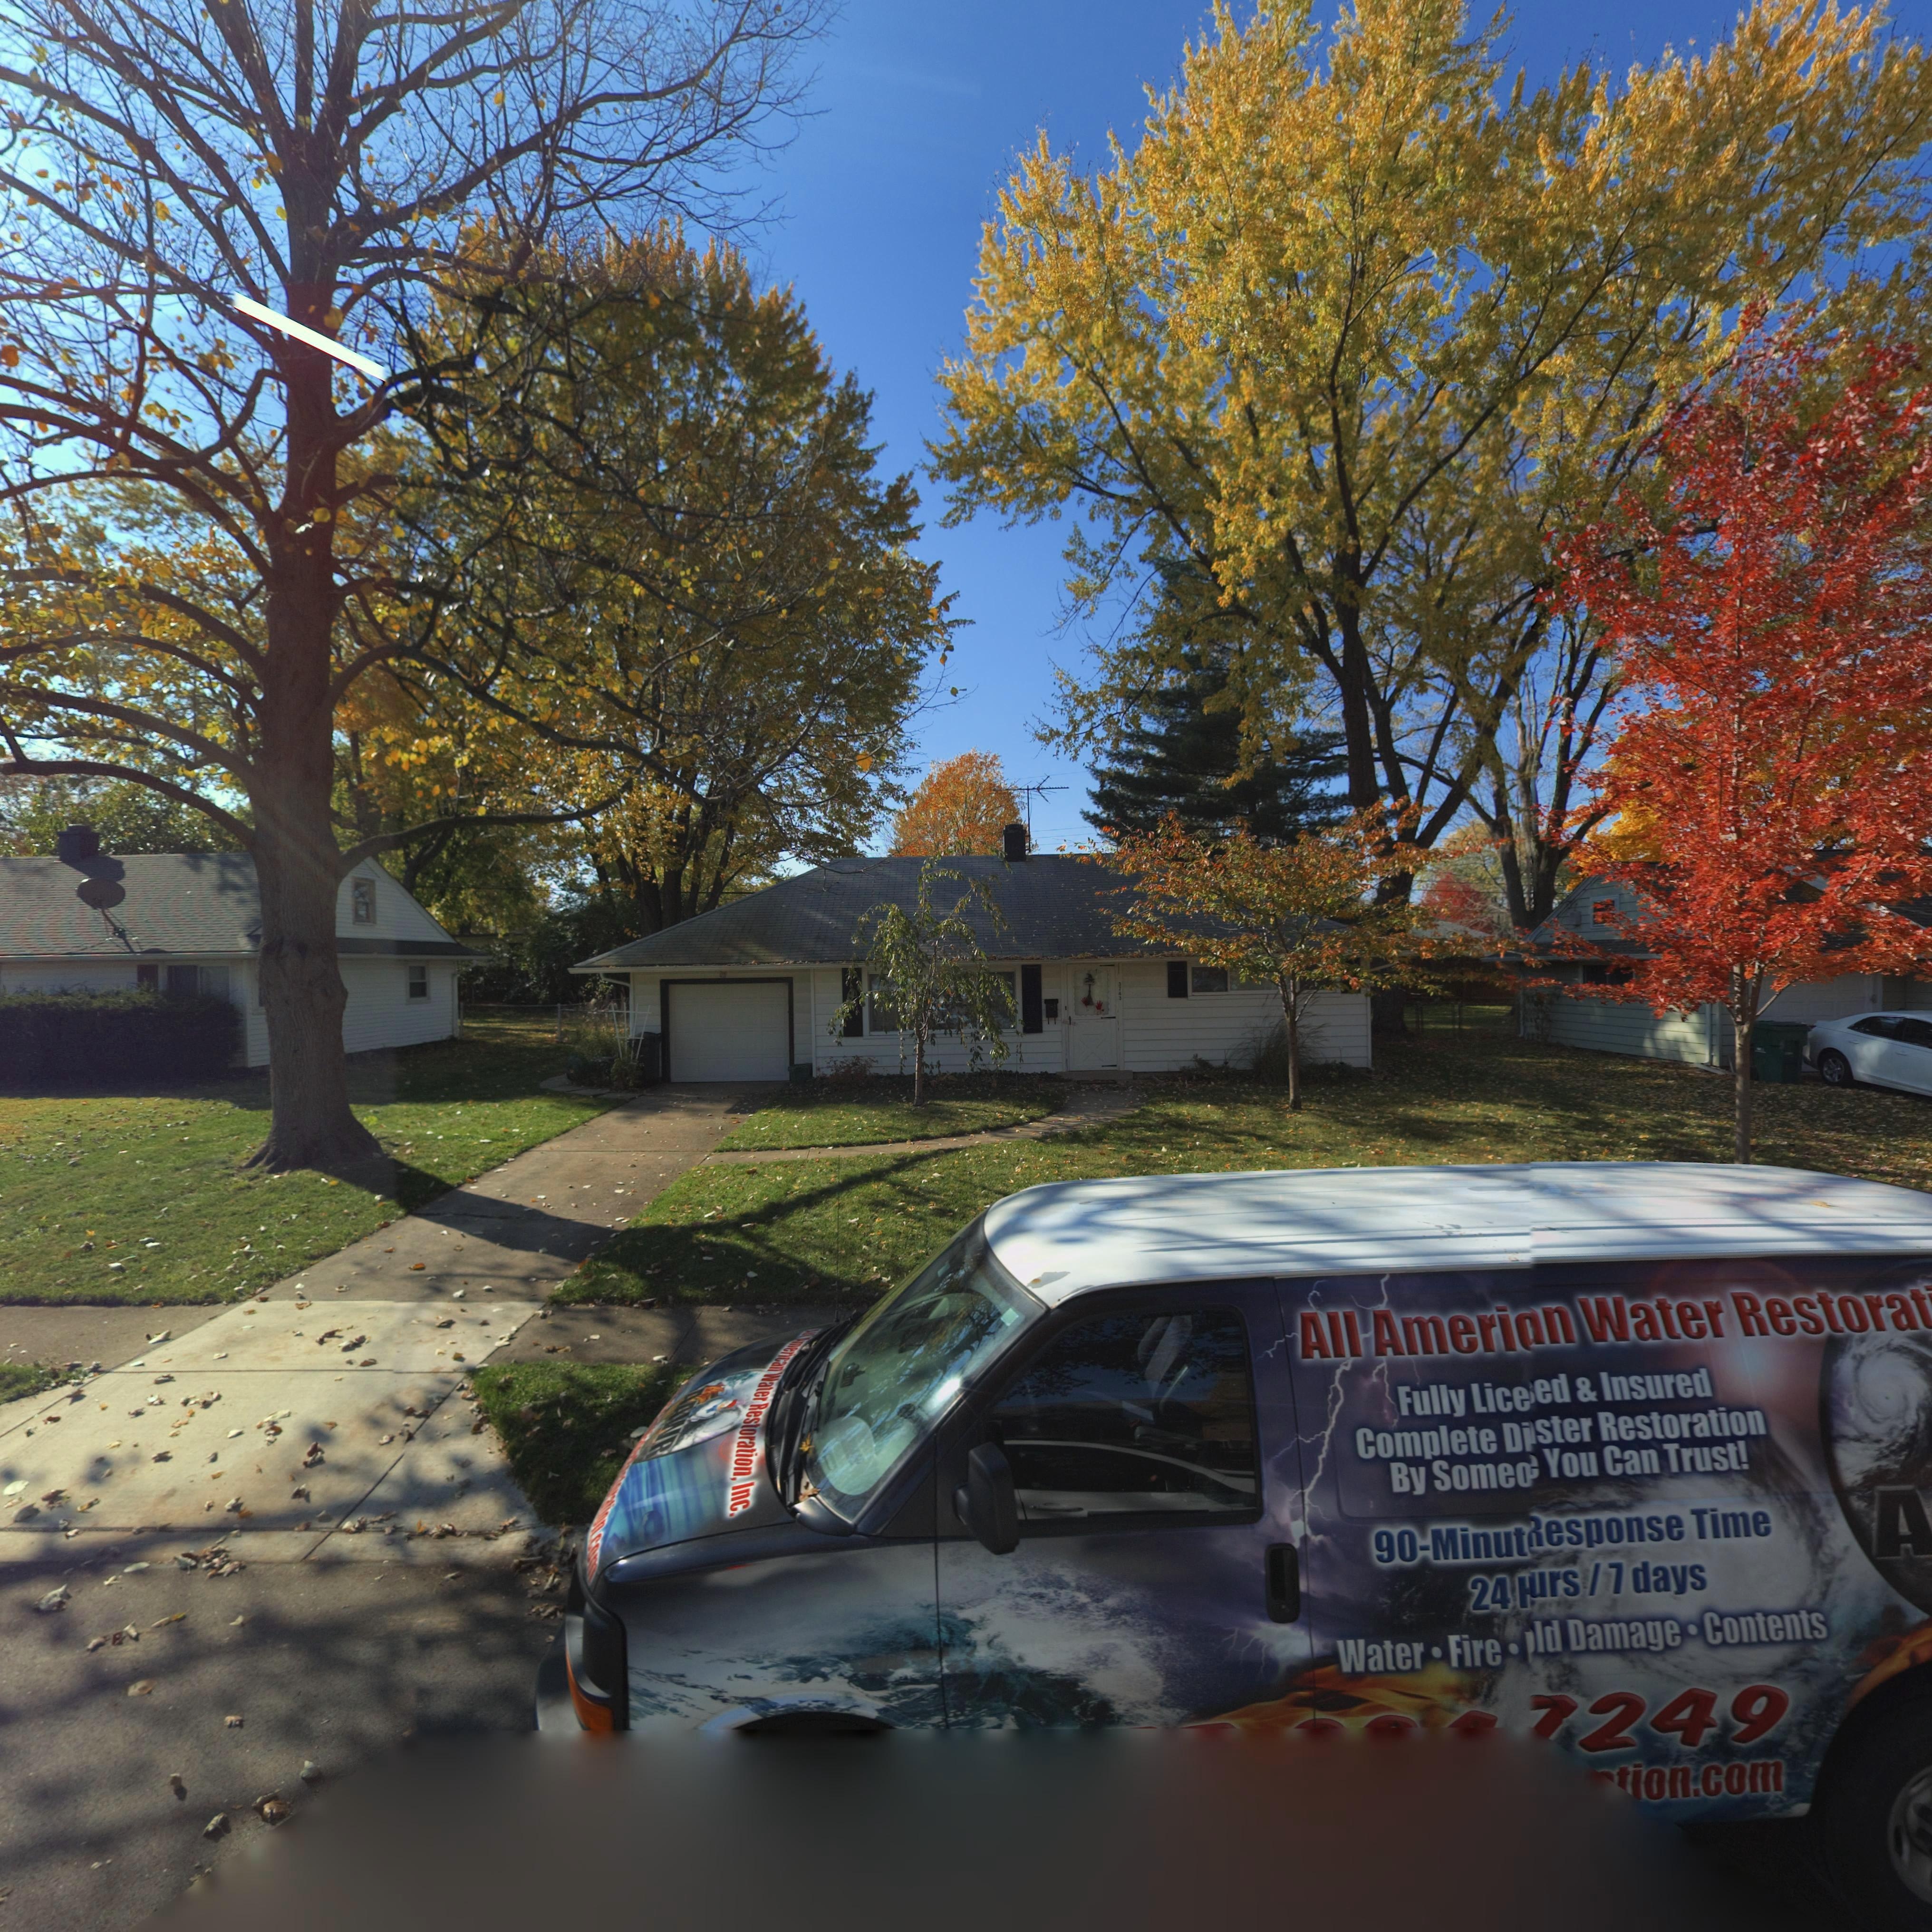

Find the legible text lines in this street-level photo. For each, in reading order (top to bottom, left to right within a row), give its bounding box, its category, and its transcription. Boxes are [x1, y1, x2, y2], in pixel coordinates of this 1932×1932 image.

[1118, 982, 1122, 1001] StreetNumber: 3743
[1298, 1288, 1932, 1361] None: All Ameri*n Water Restorat
[642, 1387, 705, 1461] None: AAWR
[728, 1328, 821, 1518] None: All American Water Restoration, Inc.
[1395, 1367, 1714, 1418] None: Fully Lice*ed & Insured
[1353, 1406, 1768, 1460] None: Complete Di*ster Restoration
[1388, 1439, 1751, 1497] None: By Someo* You Can Trust!
[586, 1493, 617, 1586] None: ation.com
[1373, 1507, 1772, 1564] None: 90-Minut*esponse Time
[1871, 1485, 1932, 1560] None: A
[1470, 1560, 1708, 1612] None: 24 *urs / 7 days
[1334, 1609, 1829, 1674] None: Water * Fire * *ld Damage * Contents
[1576, 1683, 1791, 1754] None: 249
[1631, 1759, 1784, 1802] None: ion.com